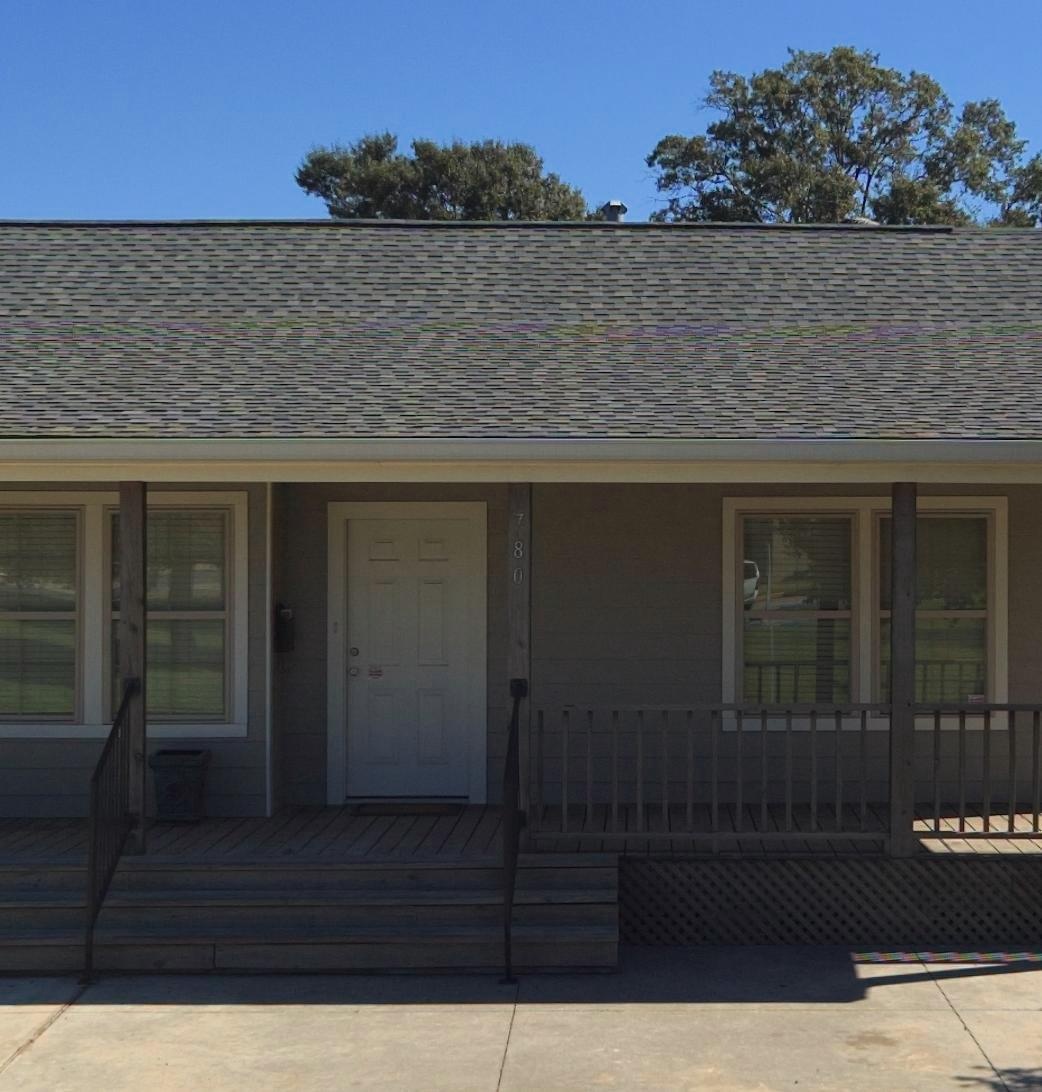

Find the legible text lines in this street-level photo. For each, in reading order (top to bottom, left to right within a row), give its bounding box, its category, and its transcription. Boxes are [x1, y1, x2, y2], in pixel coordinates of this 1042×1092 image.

[512, 512, 525, 587] StreetNumber: 780